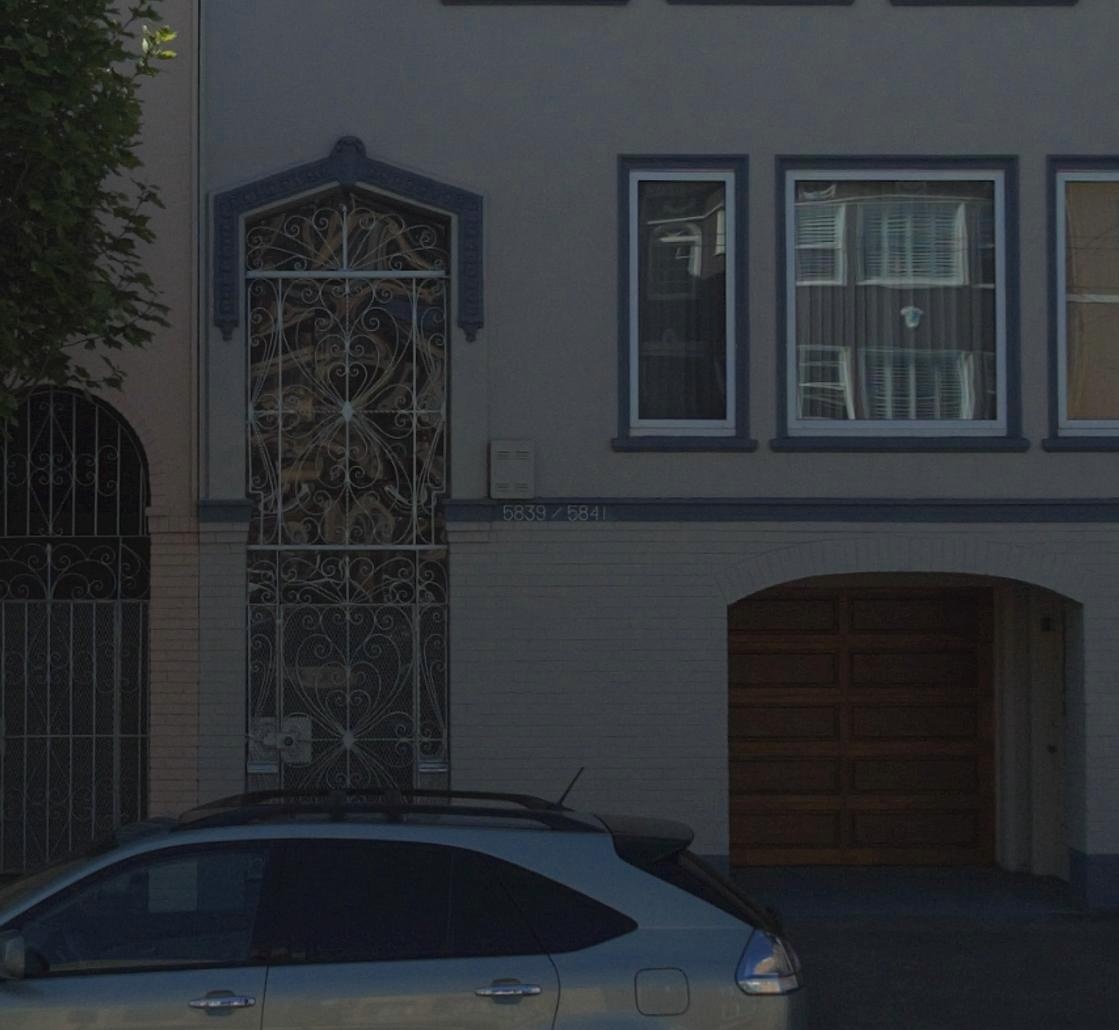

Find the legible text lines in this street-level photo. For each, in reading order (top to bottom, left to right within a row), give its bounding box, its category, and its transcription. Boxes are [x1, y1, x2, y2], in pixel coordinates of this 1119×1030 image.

[500, 503, 547, 522] StreetNumber: 5839
[565, 502, 608, 523] StreetNumber: 5841